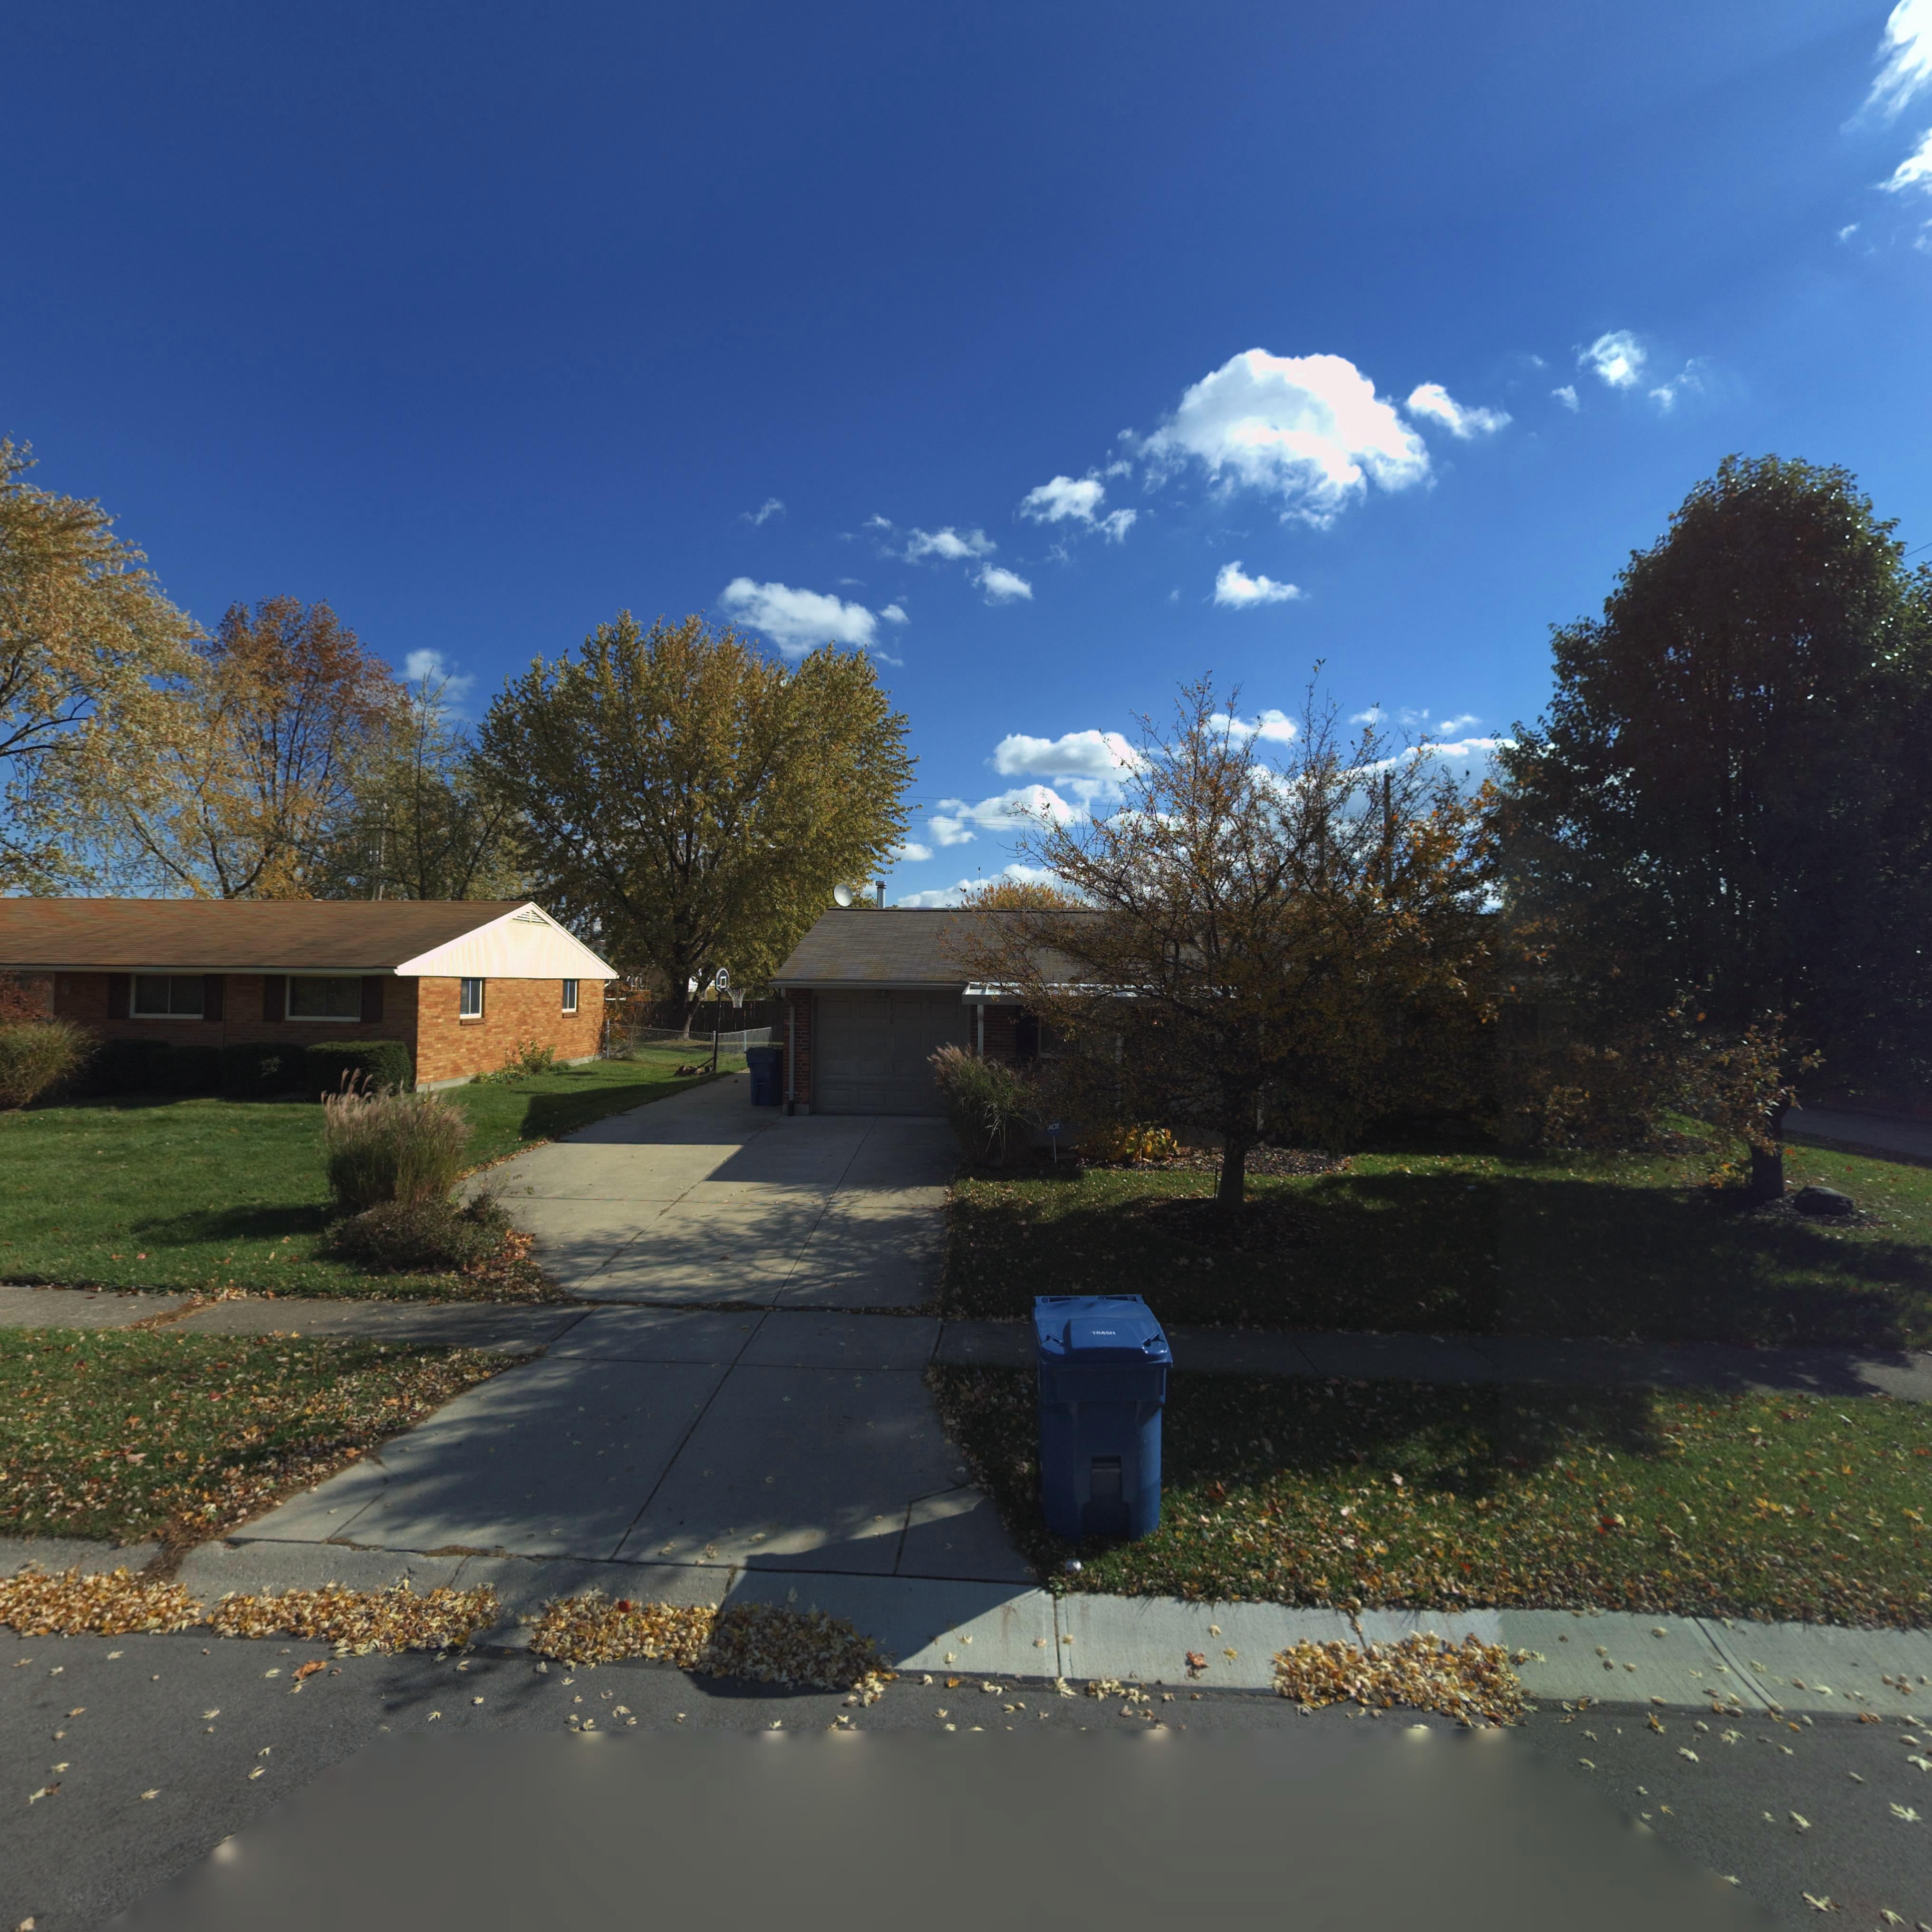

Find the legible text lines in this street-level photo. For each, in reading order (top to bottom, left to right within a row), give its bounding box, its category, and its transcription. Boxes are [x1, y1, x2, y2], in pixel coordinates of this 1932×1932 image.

[889, 998, 895, 1025] StreetNumber: 7630